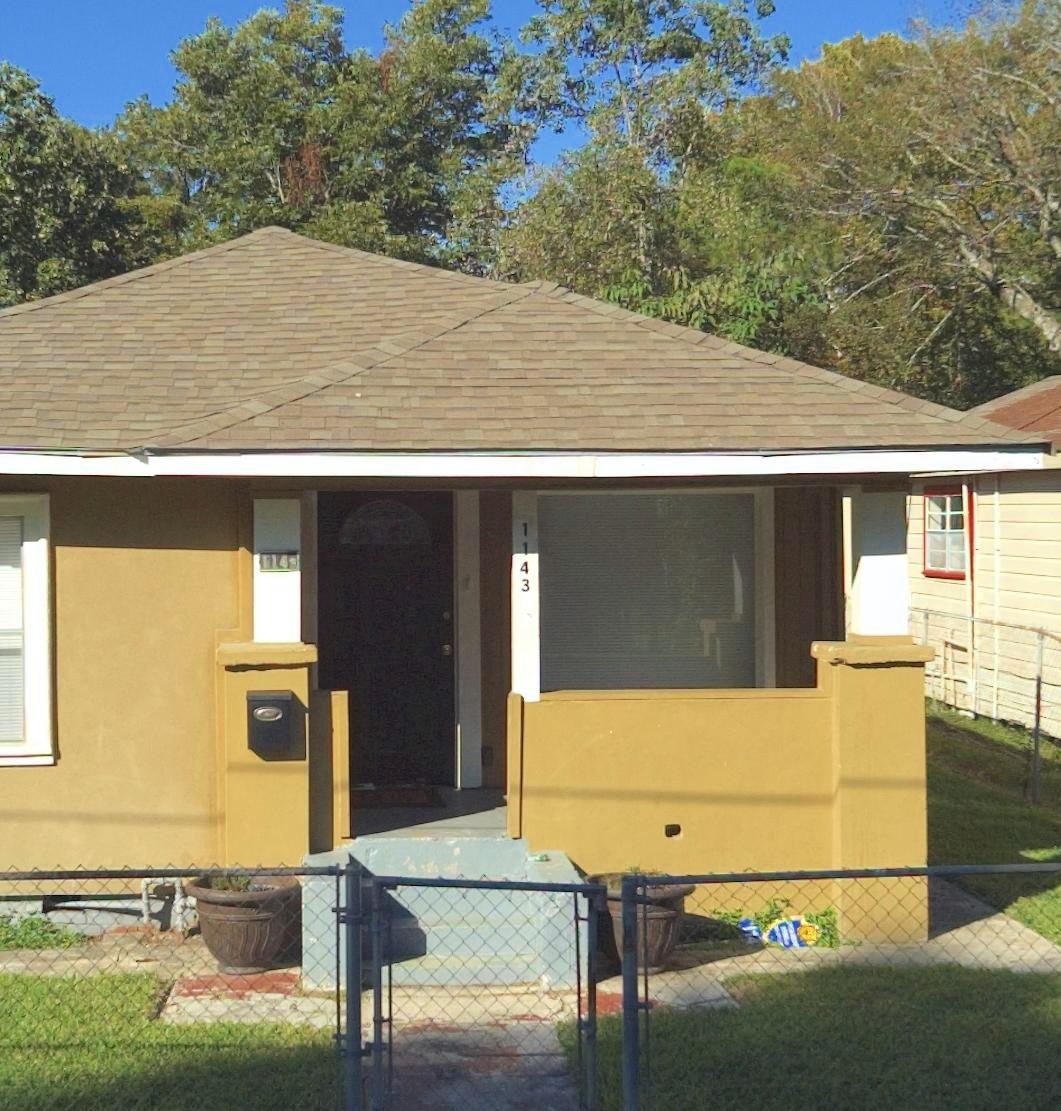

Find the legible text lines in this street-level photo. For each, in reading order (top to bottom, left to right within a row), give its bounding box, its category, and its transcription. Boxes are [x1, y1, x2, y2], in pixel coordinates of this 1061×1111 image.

[500, 500, 561, 611] StreetNumber: 1143